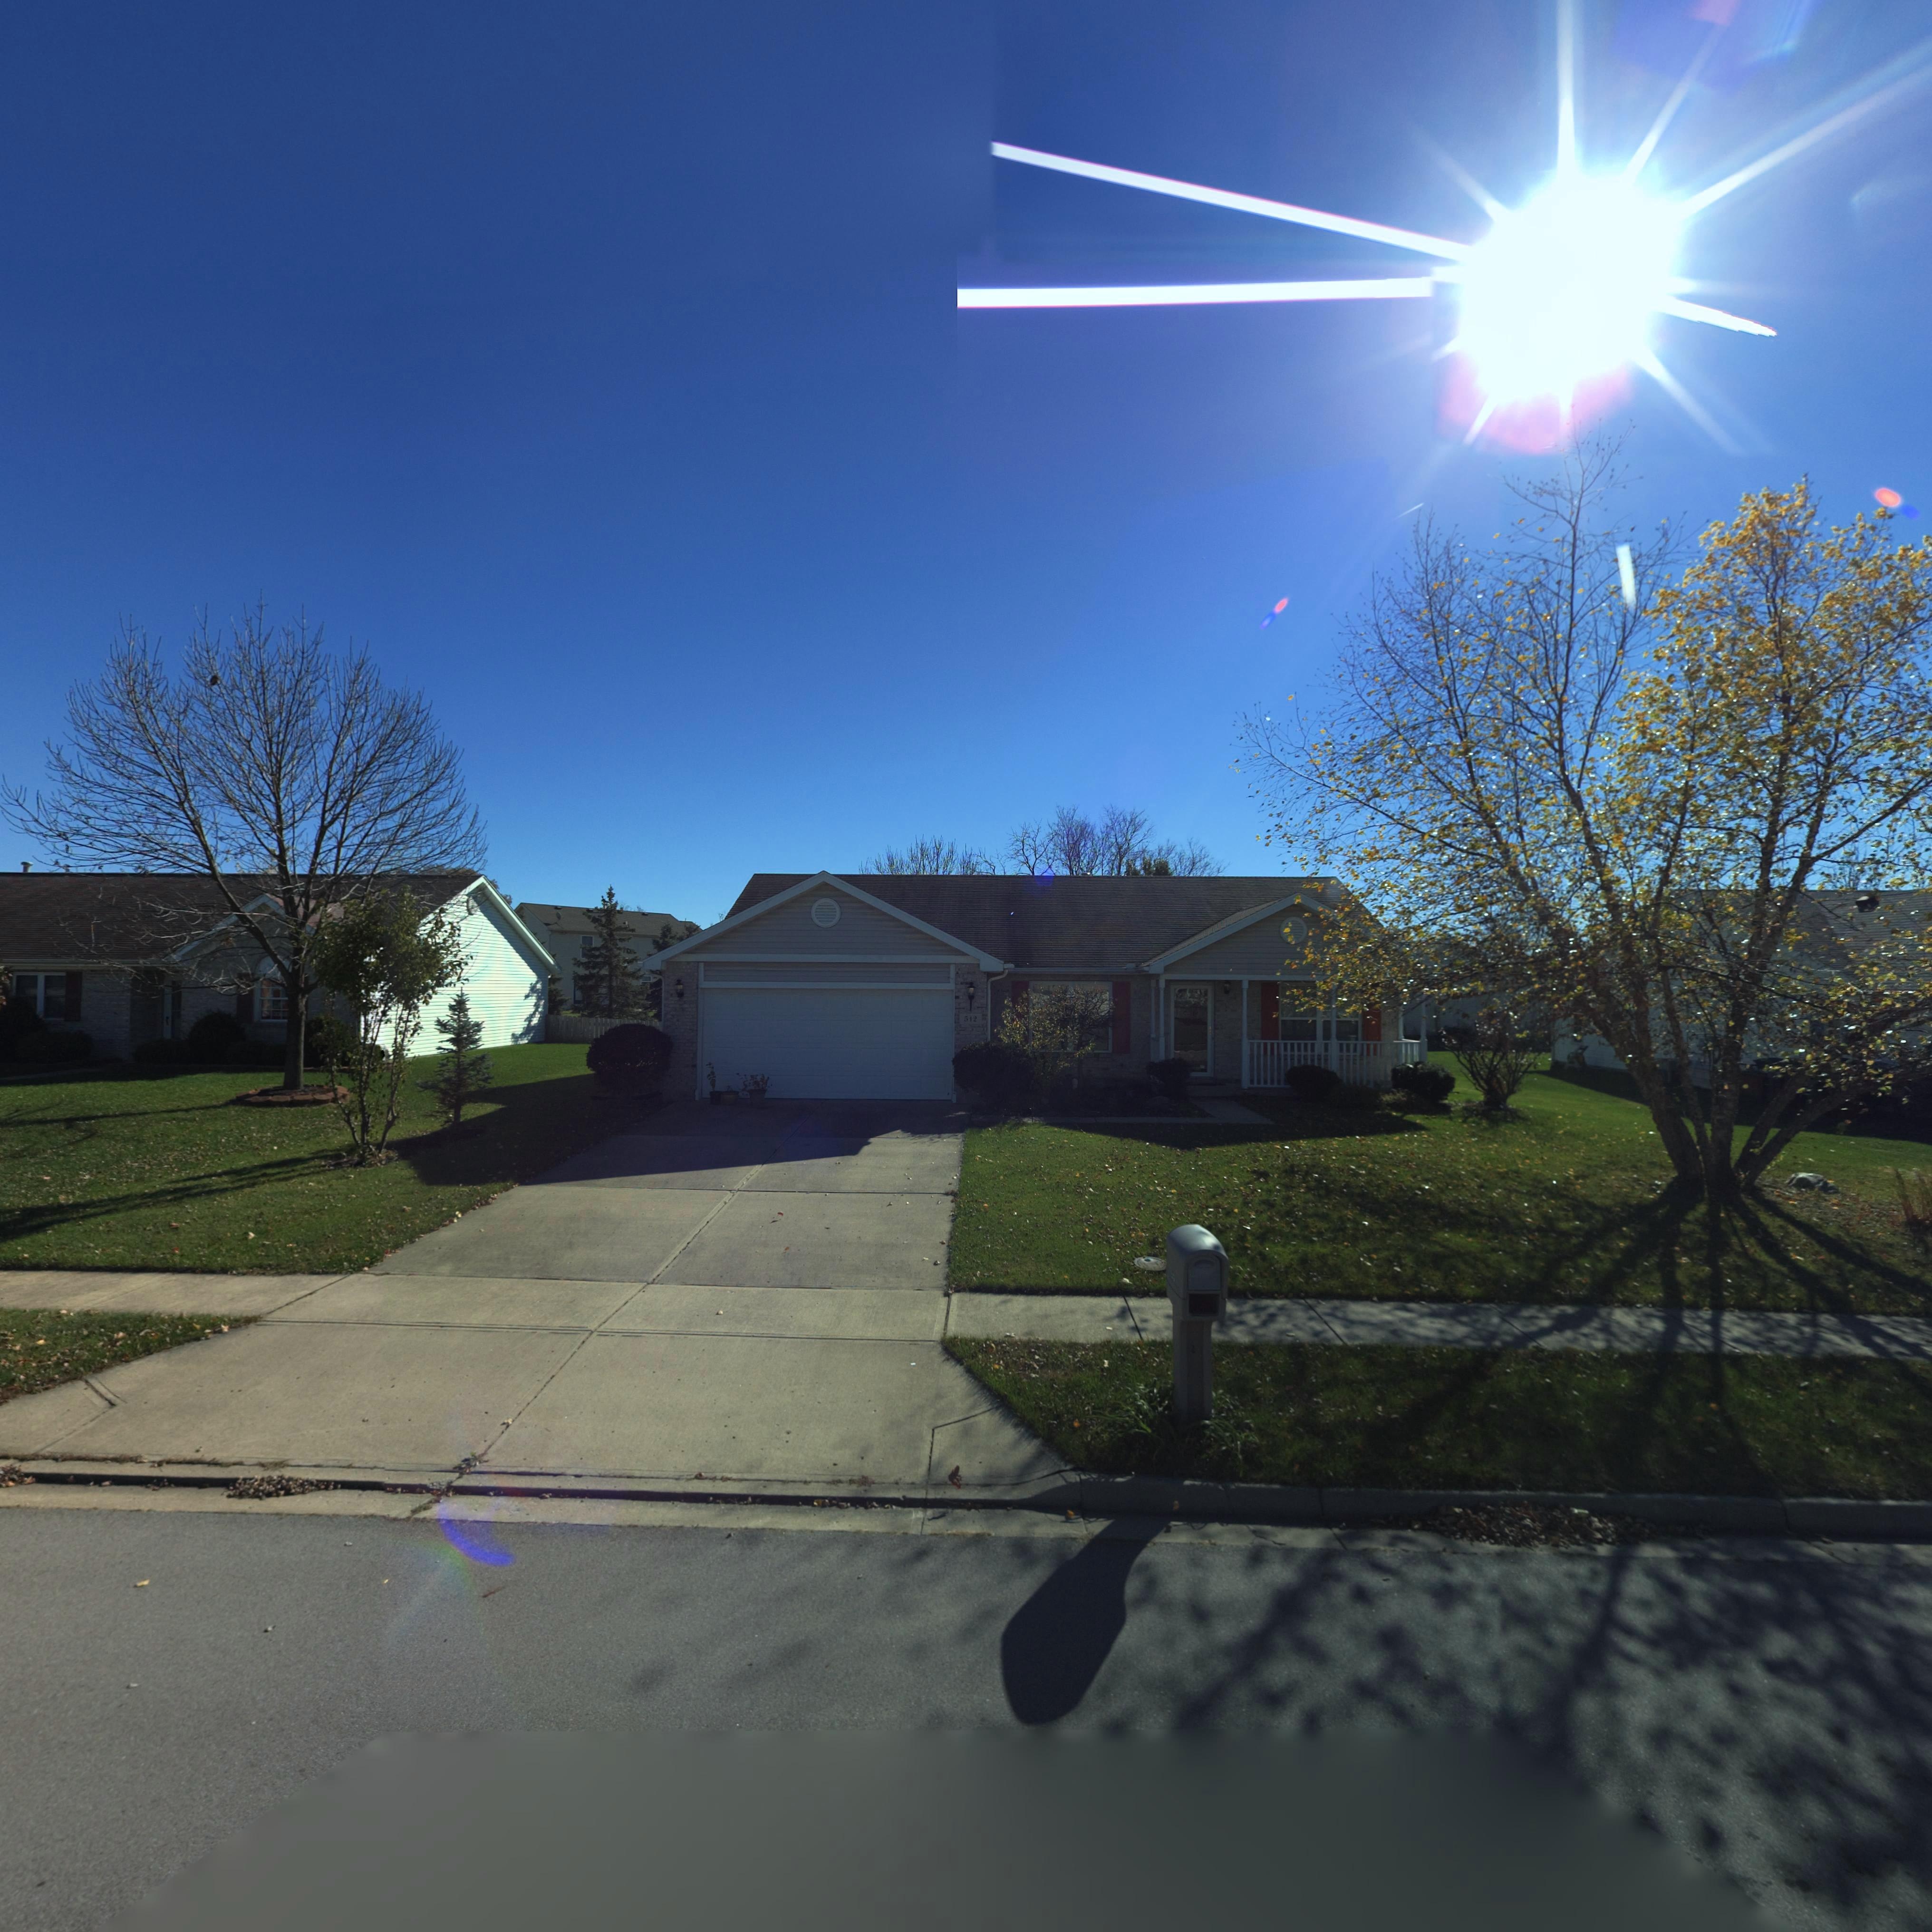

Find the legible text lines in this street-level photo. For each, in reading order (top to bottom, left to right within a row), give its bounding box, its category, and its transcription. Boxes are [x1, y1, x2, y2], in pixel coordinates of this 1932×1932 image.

[963, 1014, 978, 1023] StreetNumber: 512